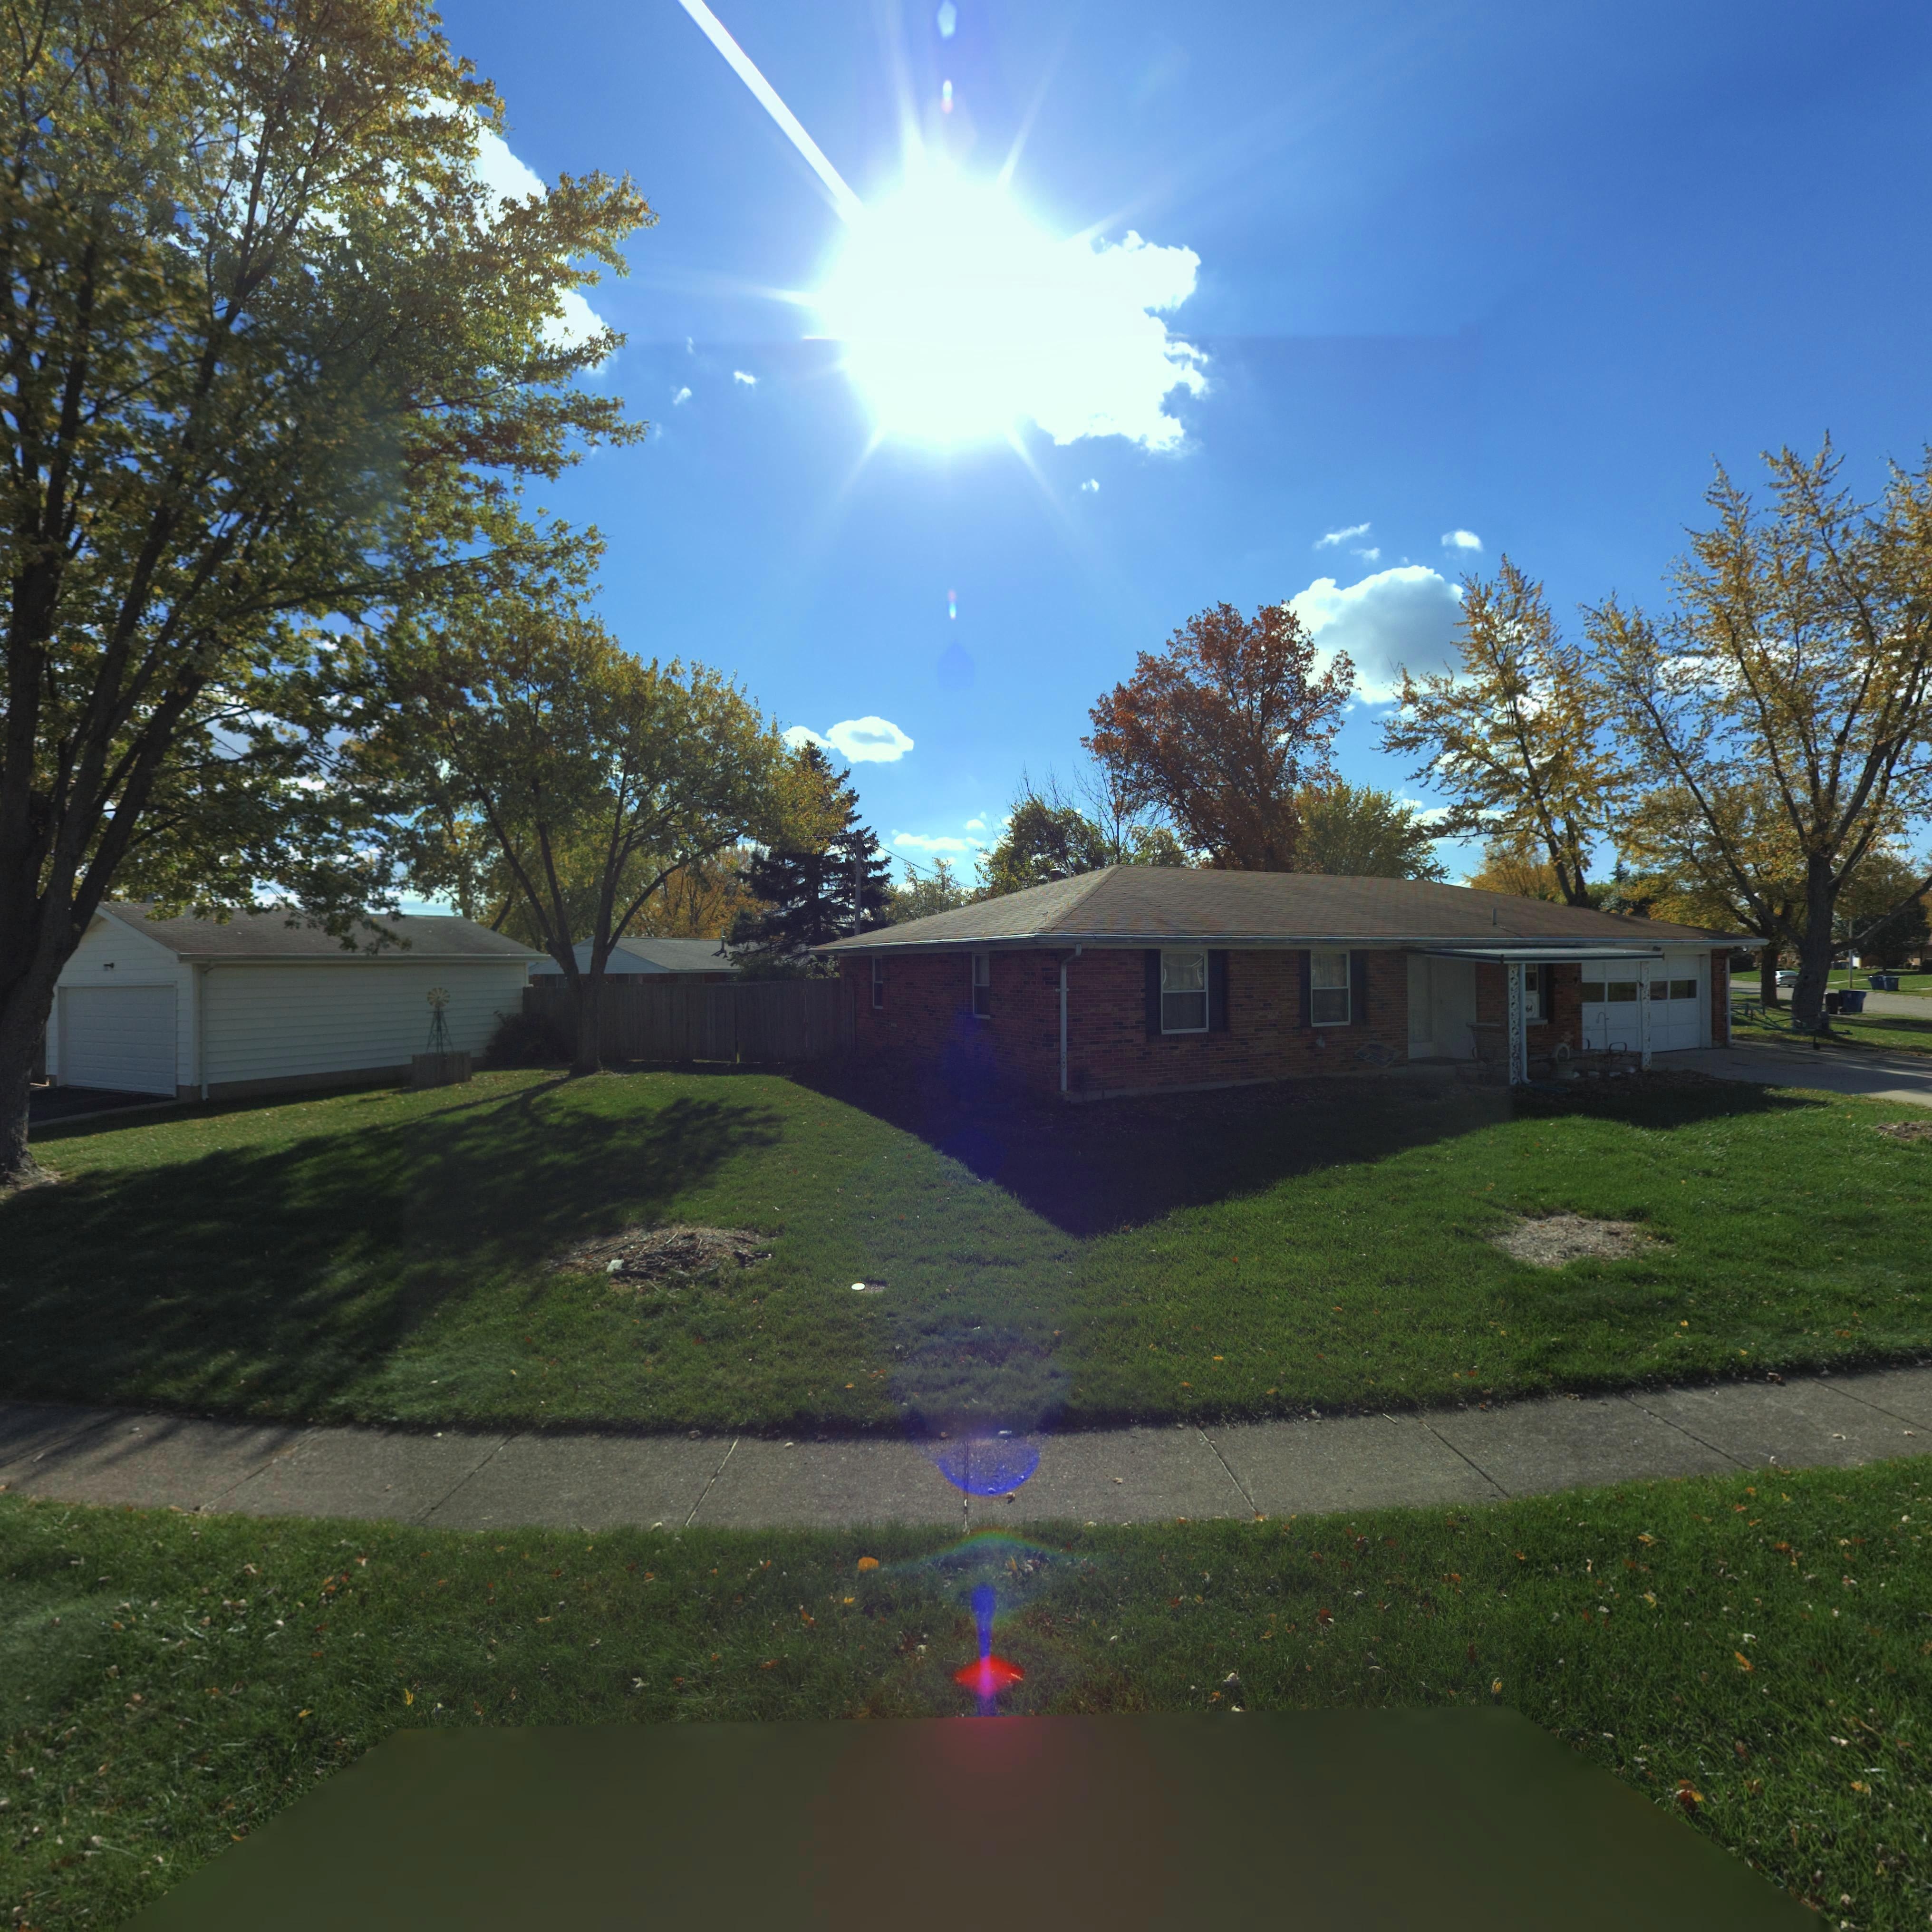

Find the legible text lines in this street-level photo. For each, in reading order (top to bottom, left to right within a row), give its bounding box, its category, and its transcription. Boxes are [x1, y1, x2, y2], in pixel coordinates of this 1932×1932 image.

[1525, 1004, 1534, 1014] StreetNumber: 64